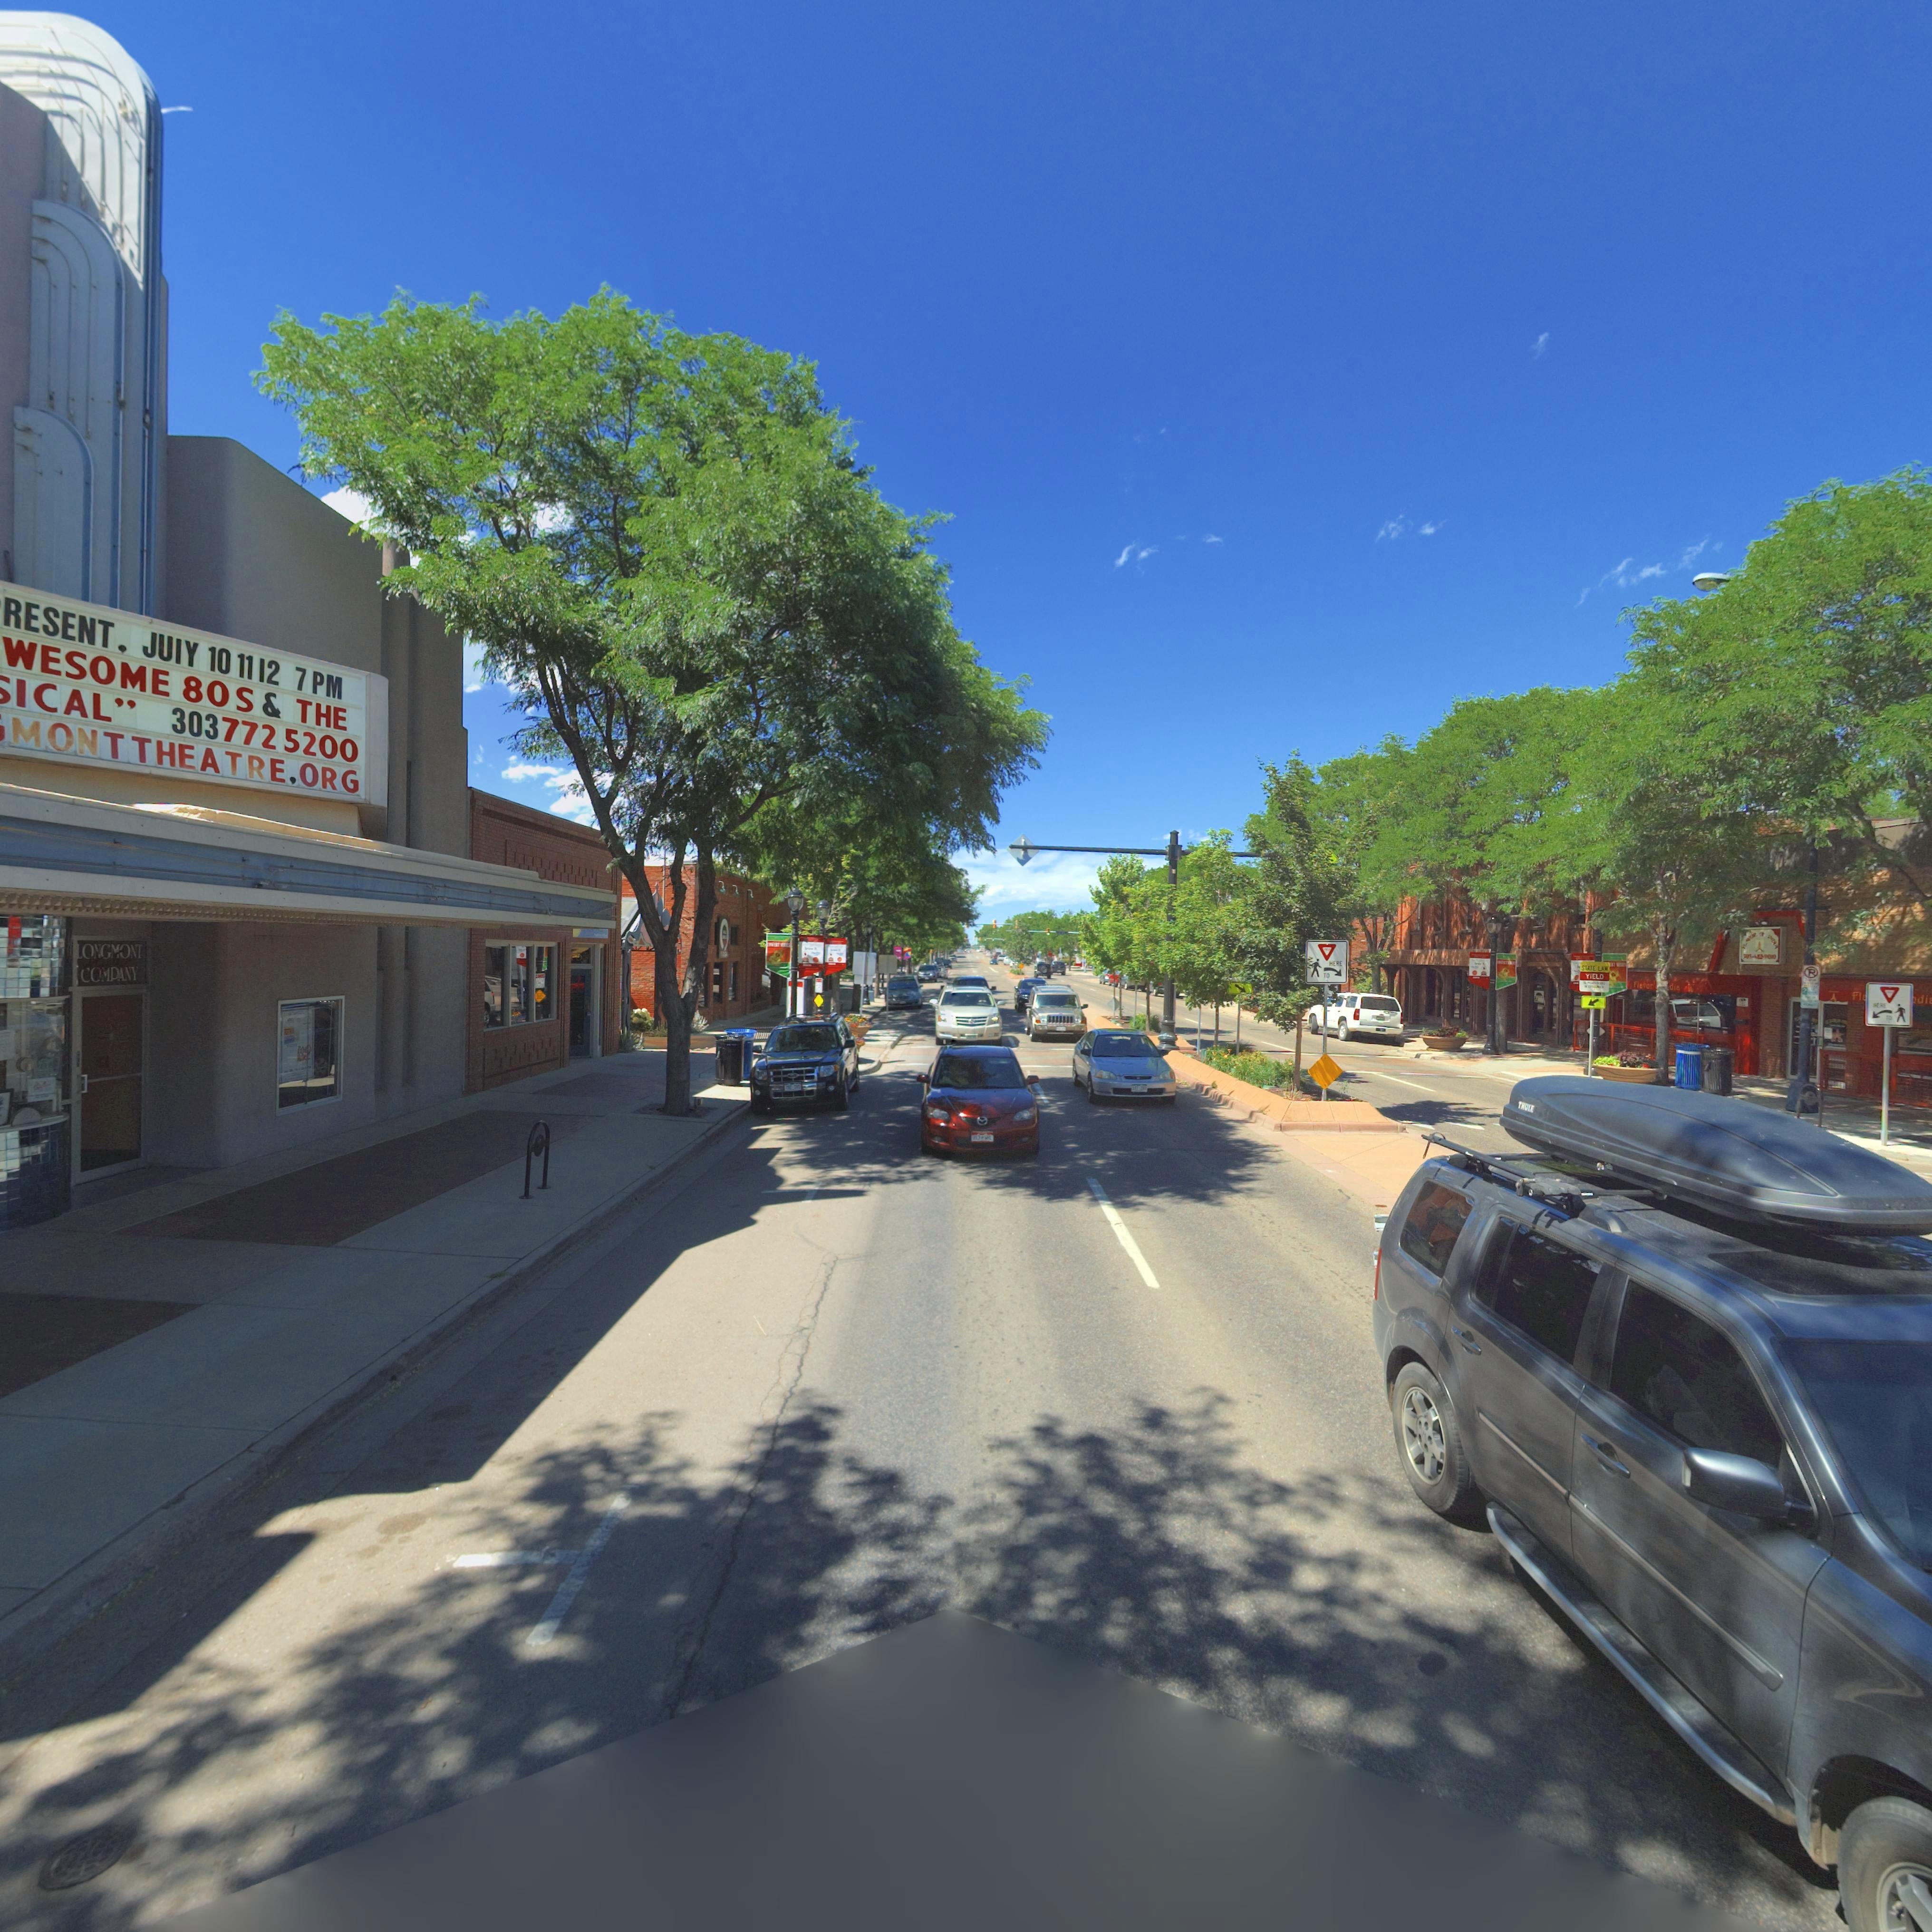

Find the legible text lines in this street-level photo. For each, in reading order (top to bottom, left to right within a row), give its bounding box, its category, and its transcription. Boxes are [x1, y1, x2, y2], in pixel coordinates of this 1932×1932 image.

[77, 944, 143, 959] BusinessName: ***G*ONT
[80, 966, 138, 982] BusinessName: *O*PANY